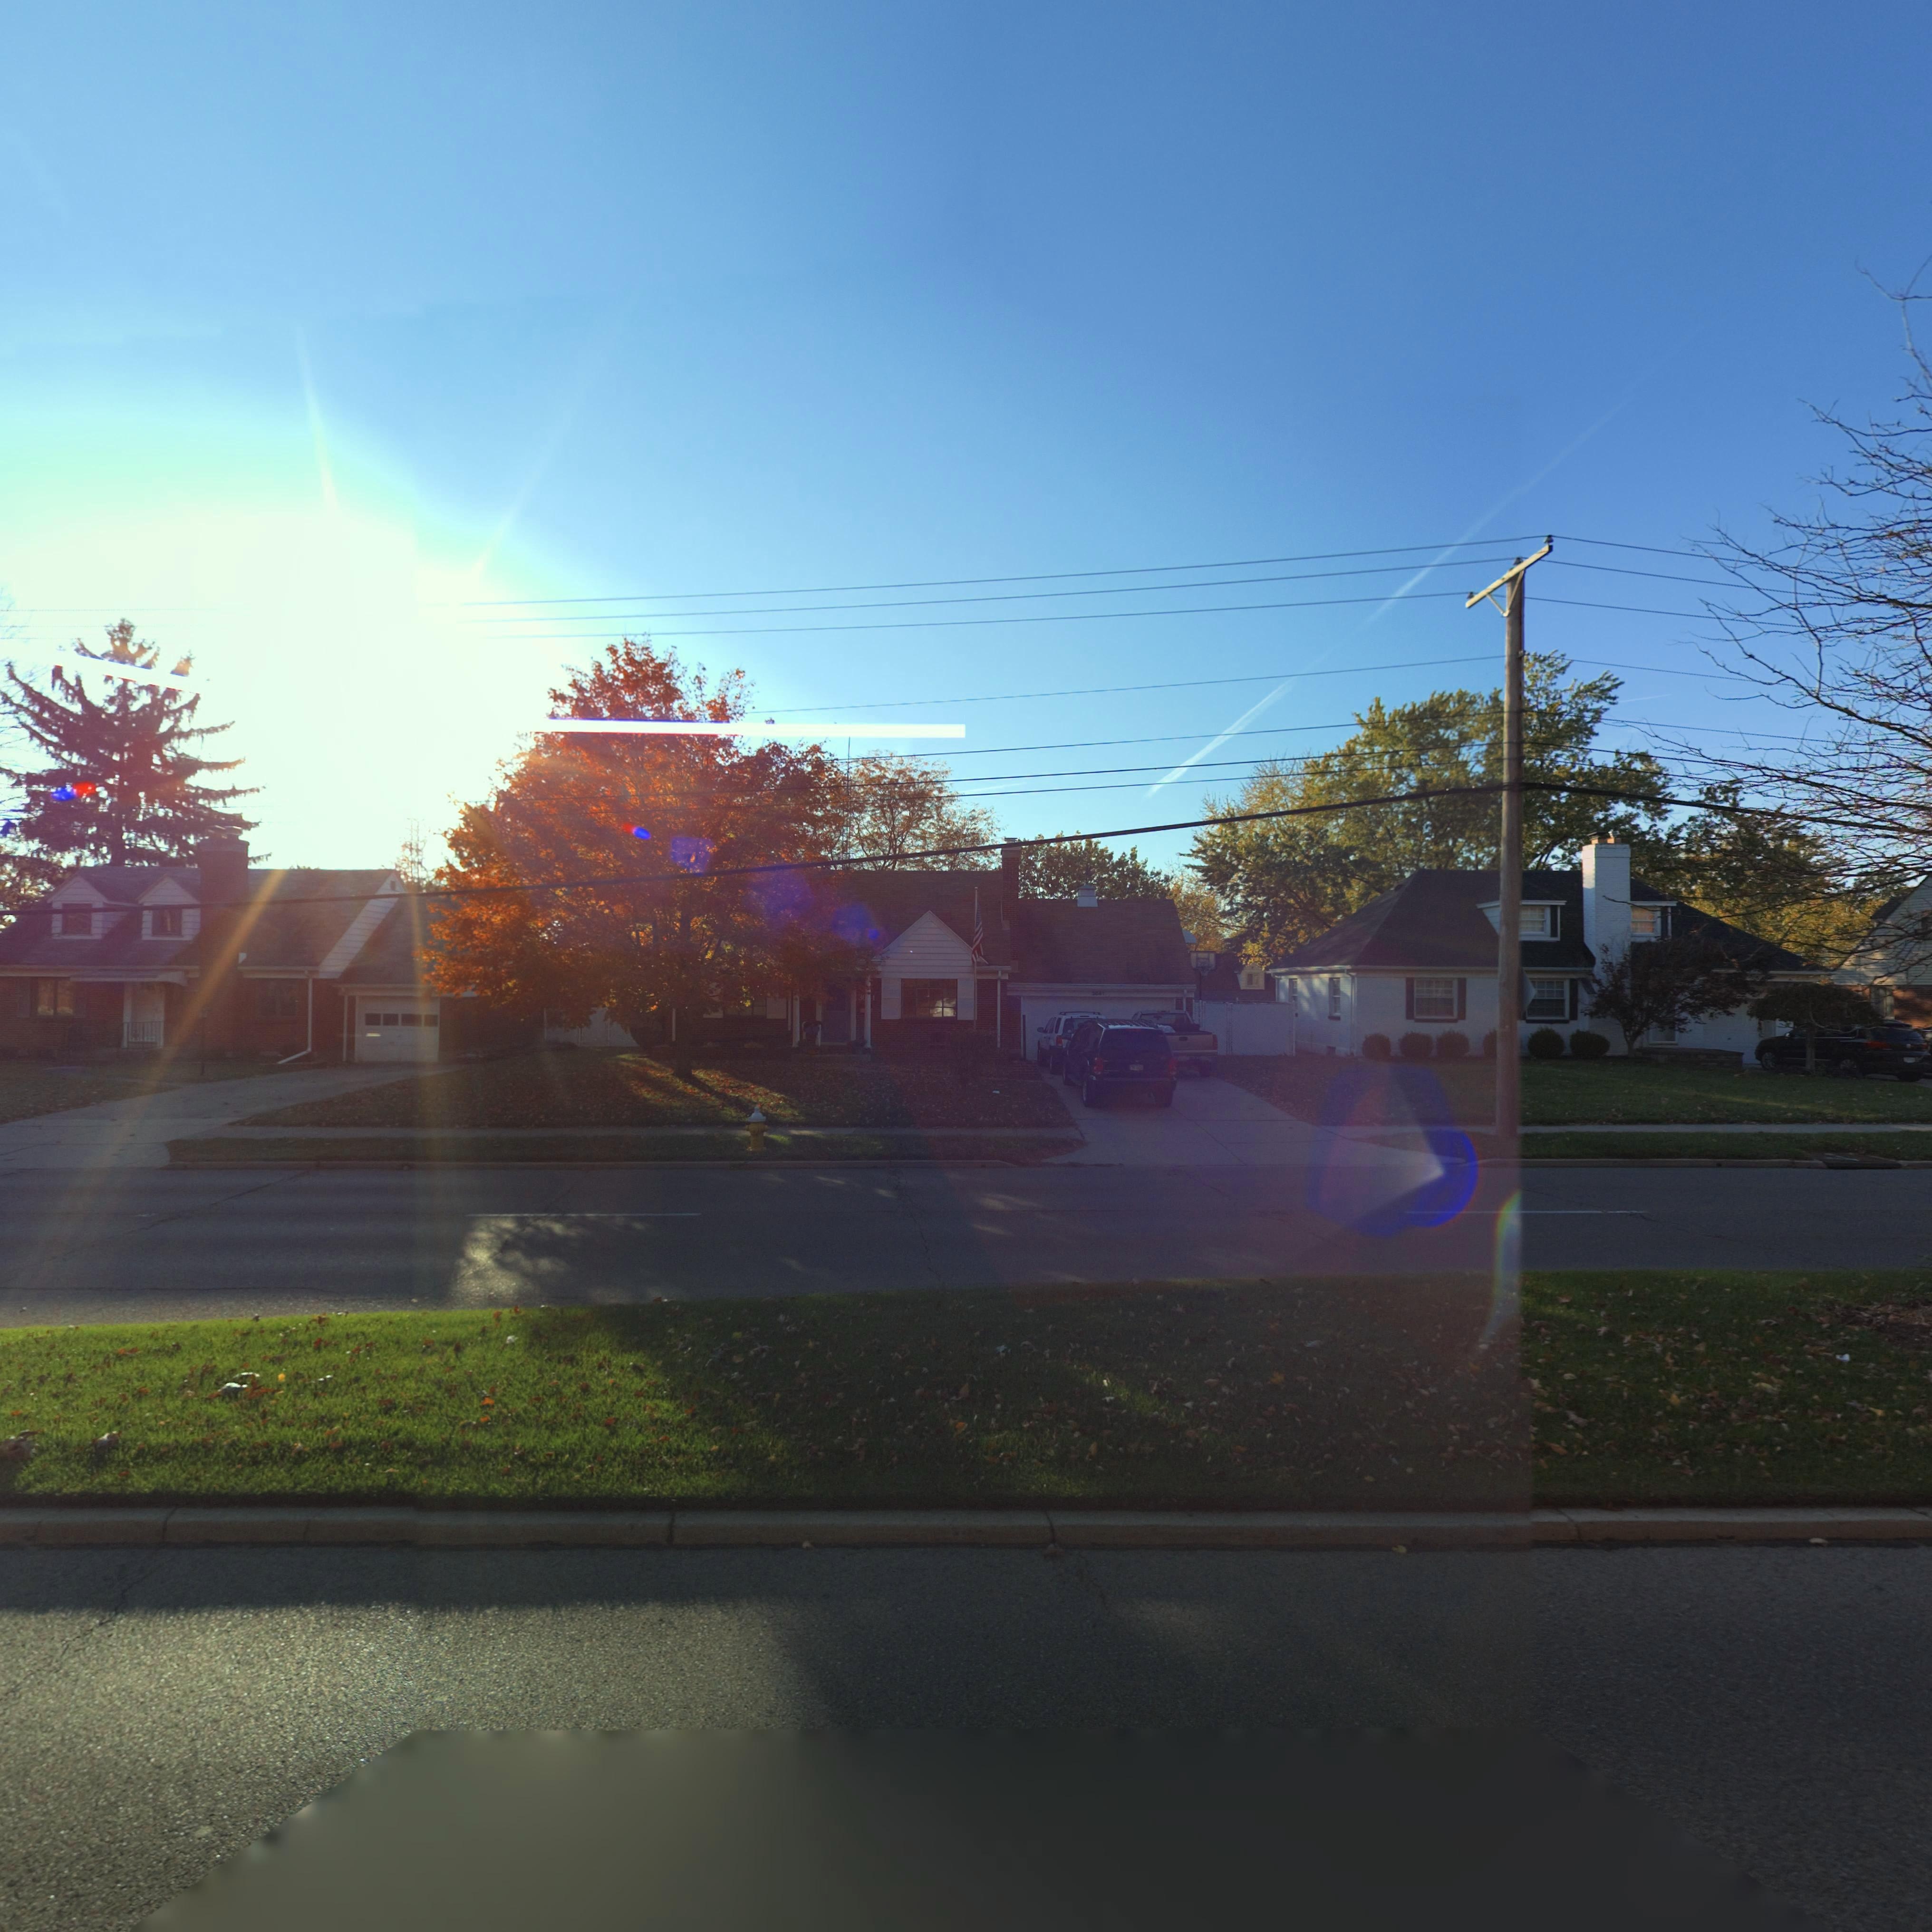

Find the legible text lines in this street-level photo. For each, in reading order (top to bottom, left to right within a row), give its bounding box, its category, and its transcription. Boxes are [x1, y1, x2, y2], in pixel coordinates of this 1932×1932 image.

[1091, 991, 1104, 995] StreetNumber: 3641